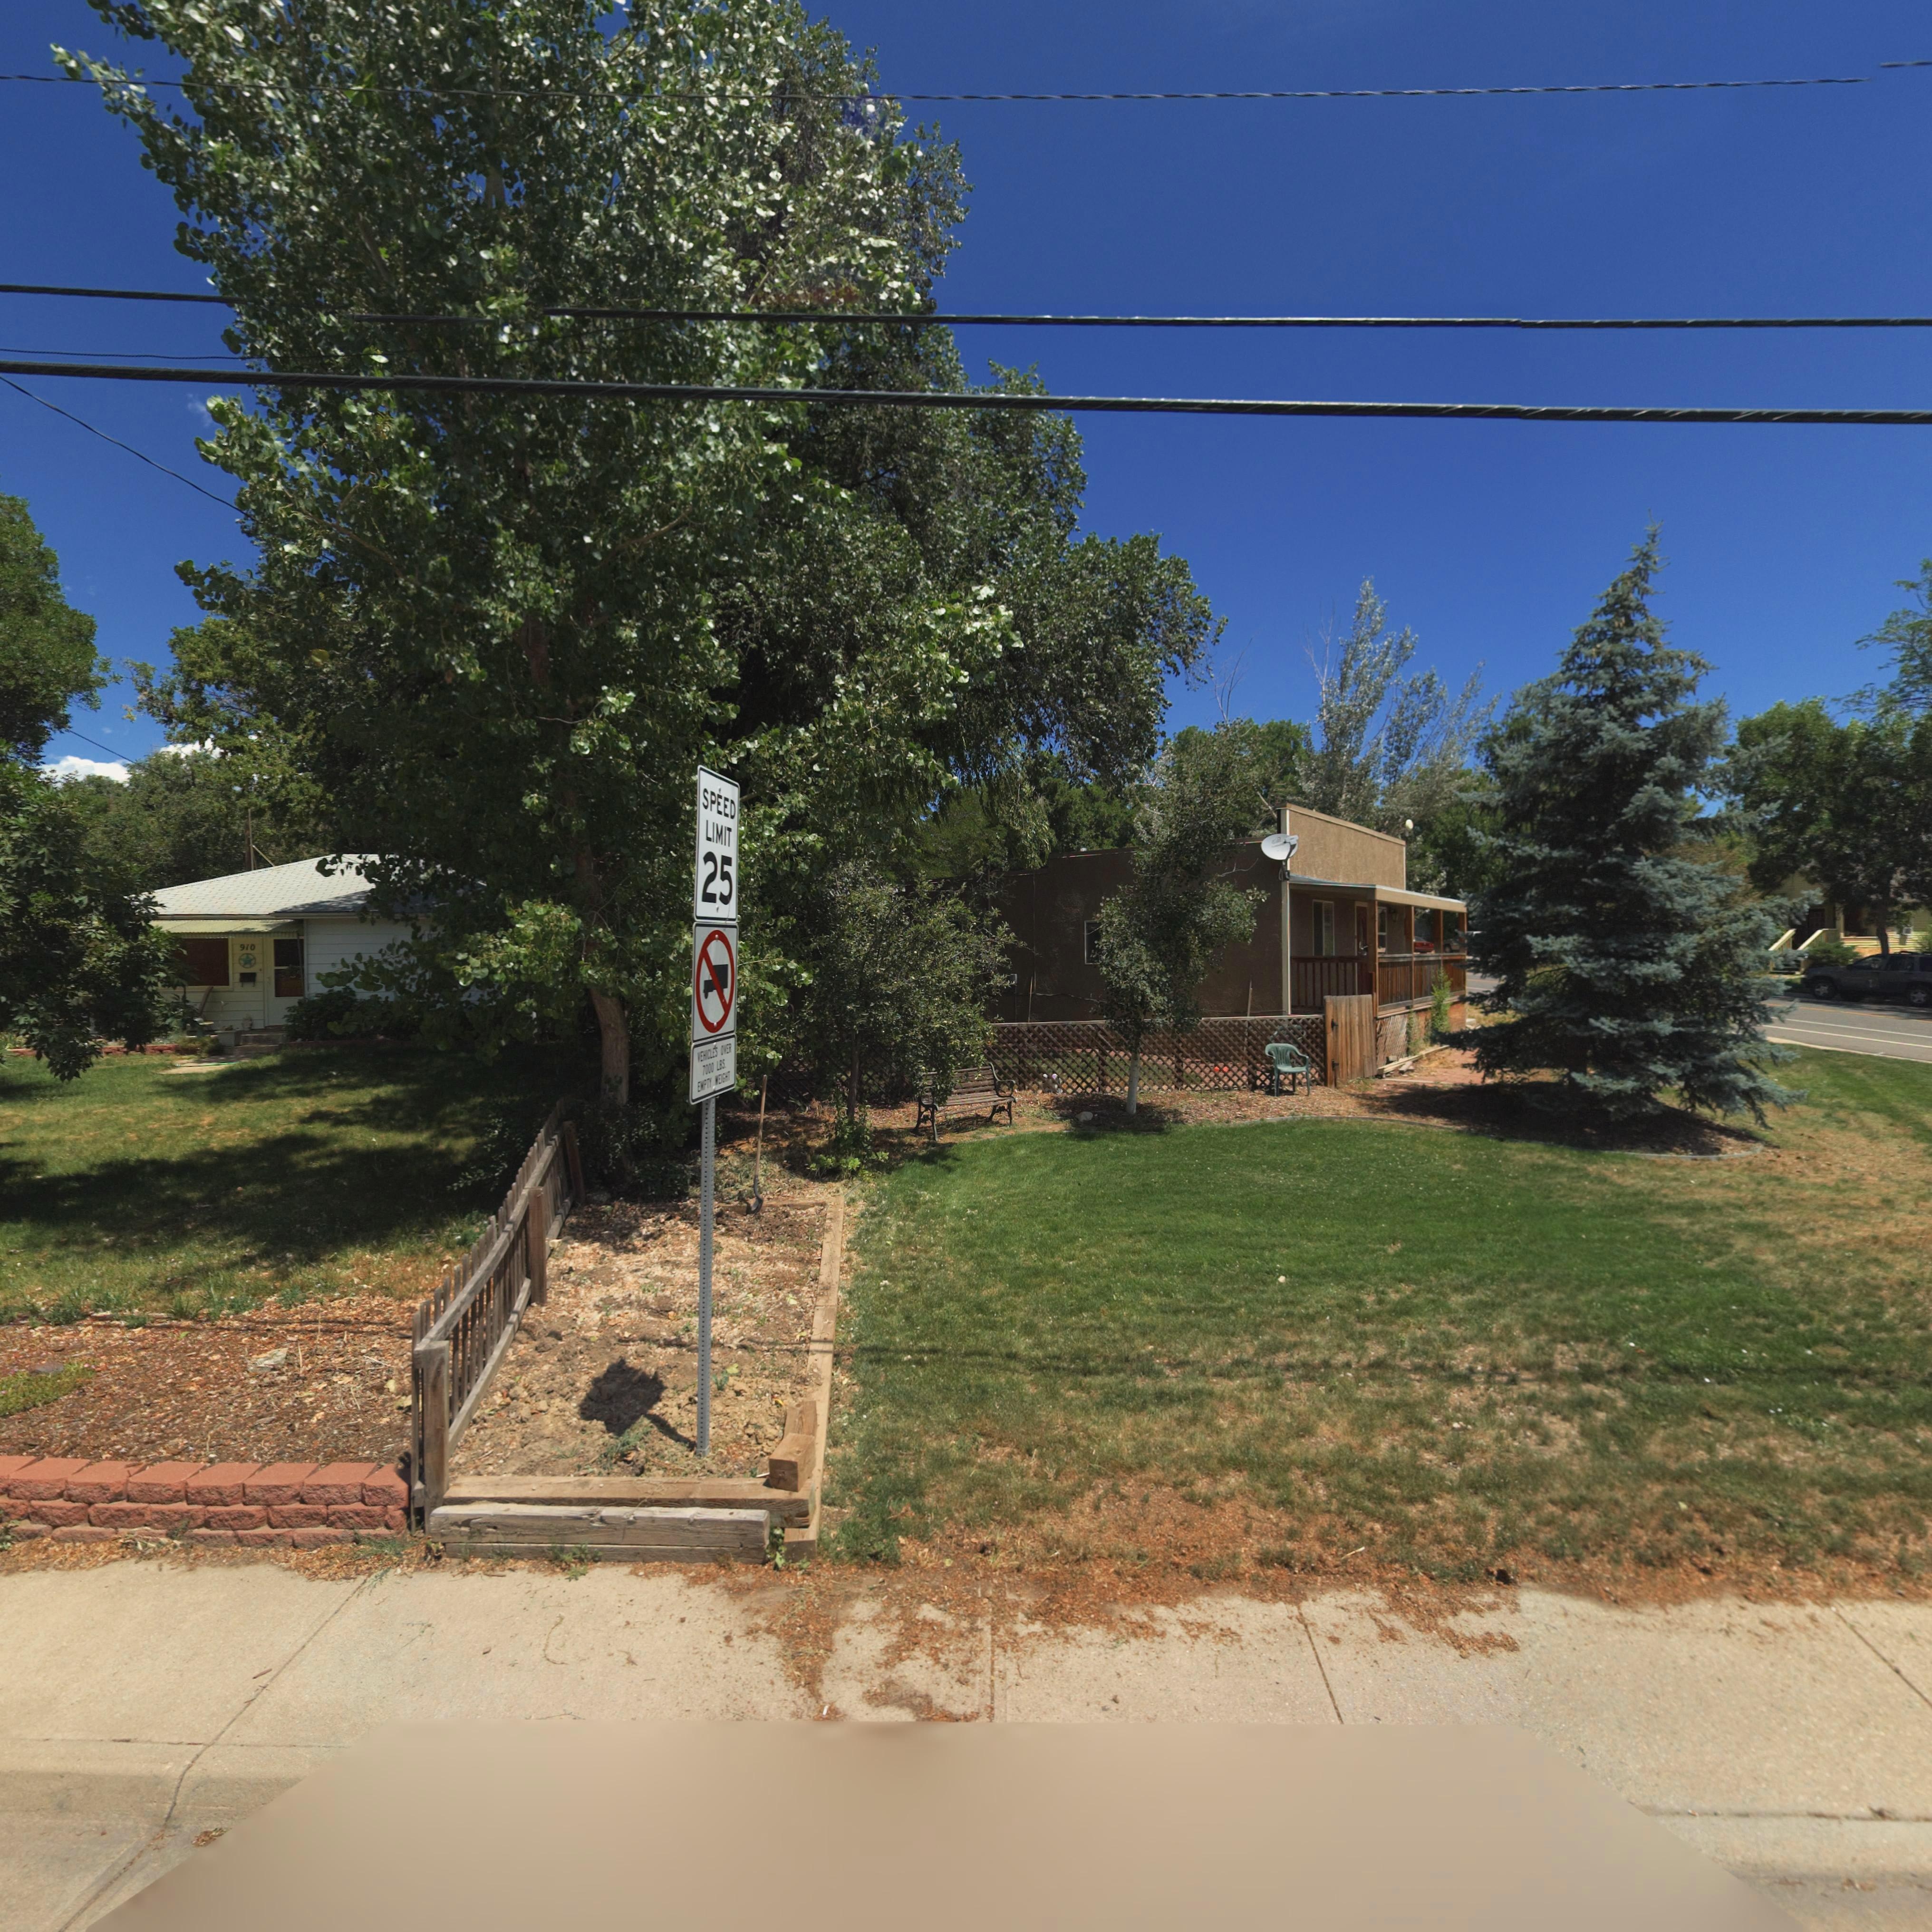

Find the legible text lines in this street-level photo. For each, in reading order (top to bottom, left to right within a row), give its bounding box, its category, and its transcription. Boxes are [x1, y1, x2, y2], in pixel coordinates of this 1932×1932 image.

[239, 944, 255, 951] StreetNumber: 910